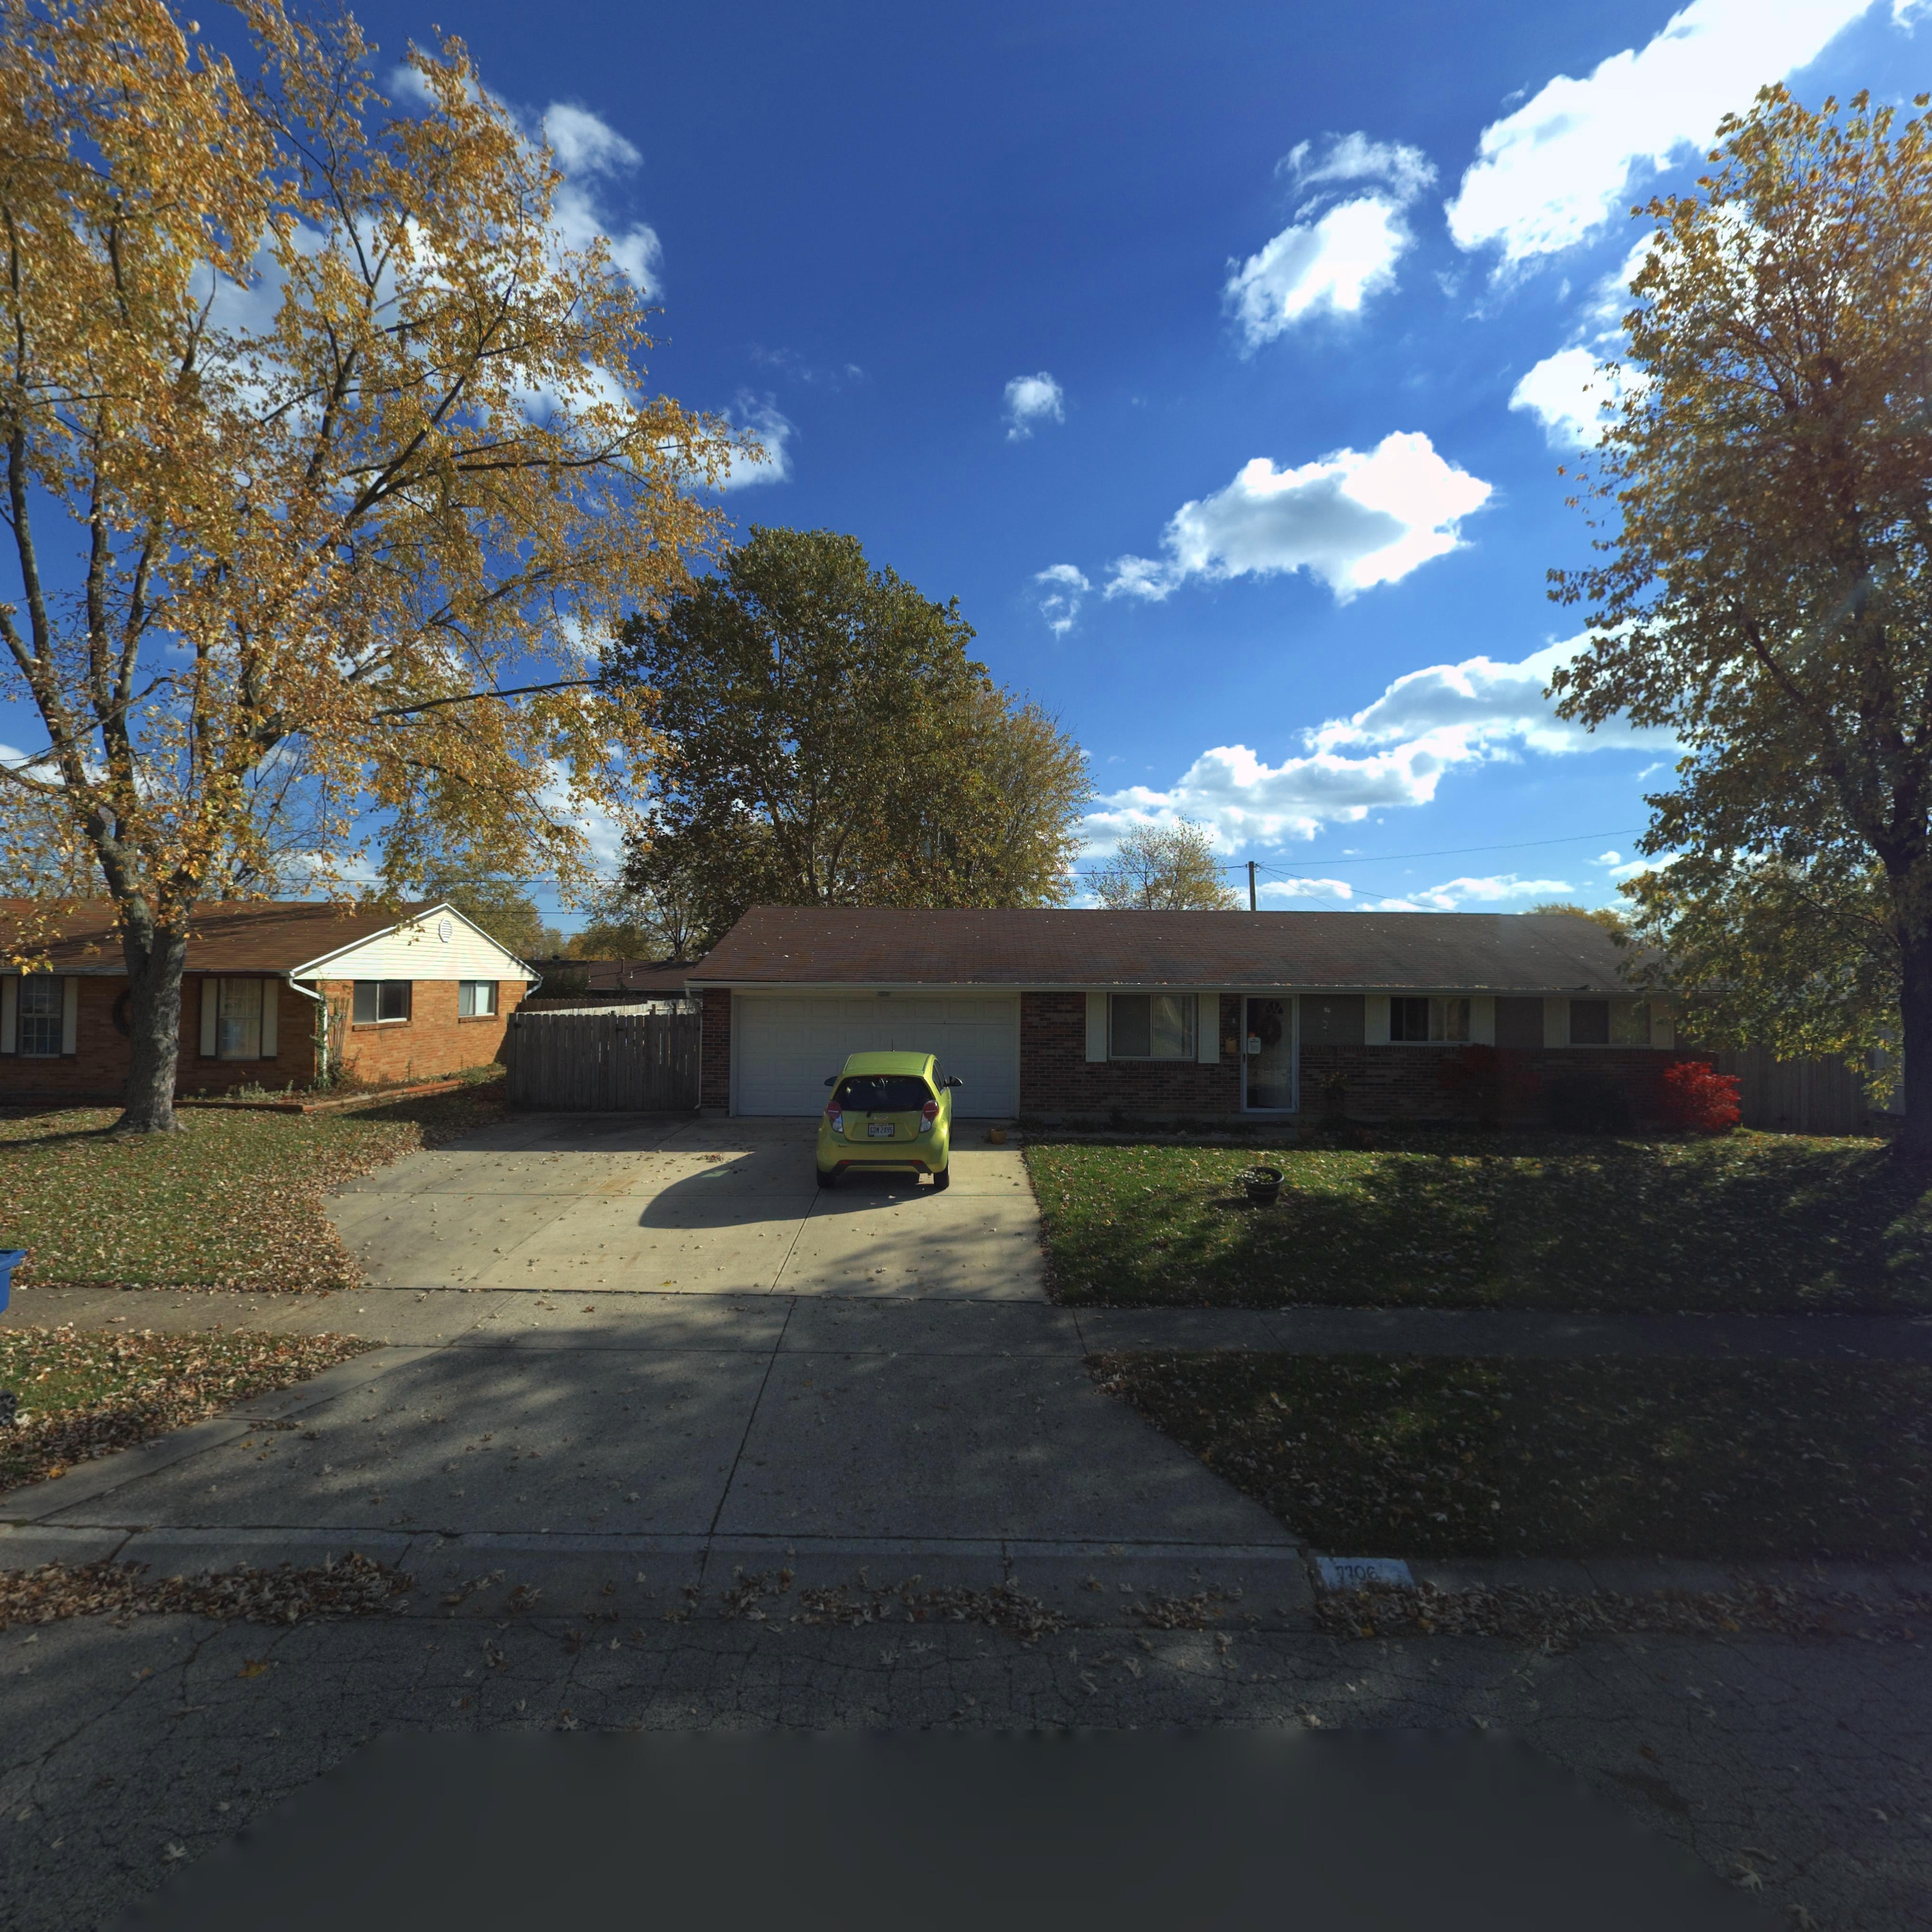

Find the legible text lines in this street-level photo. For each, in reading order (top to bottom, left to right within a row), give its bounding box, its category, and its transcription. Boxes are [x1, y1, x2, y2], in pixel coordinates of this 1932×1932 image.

[1333, 1564, 1380, 1583] StreetNumber: 7706